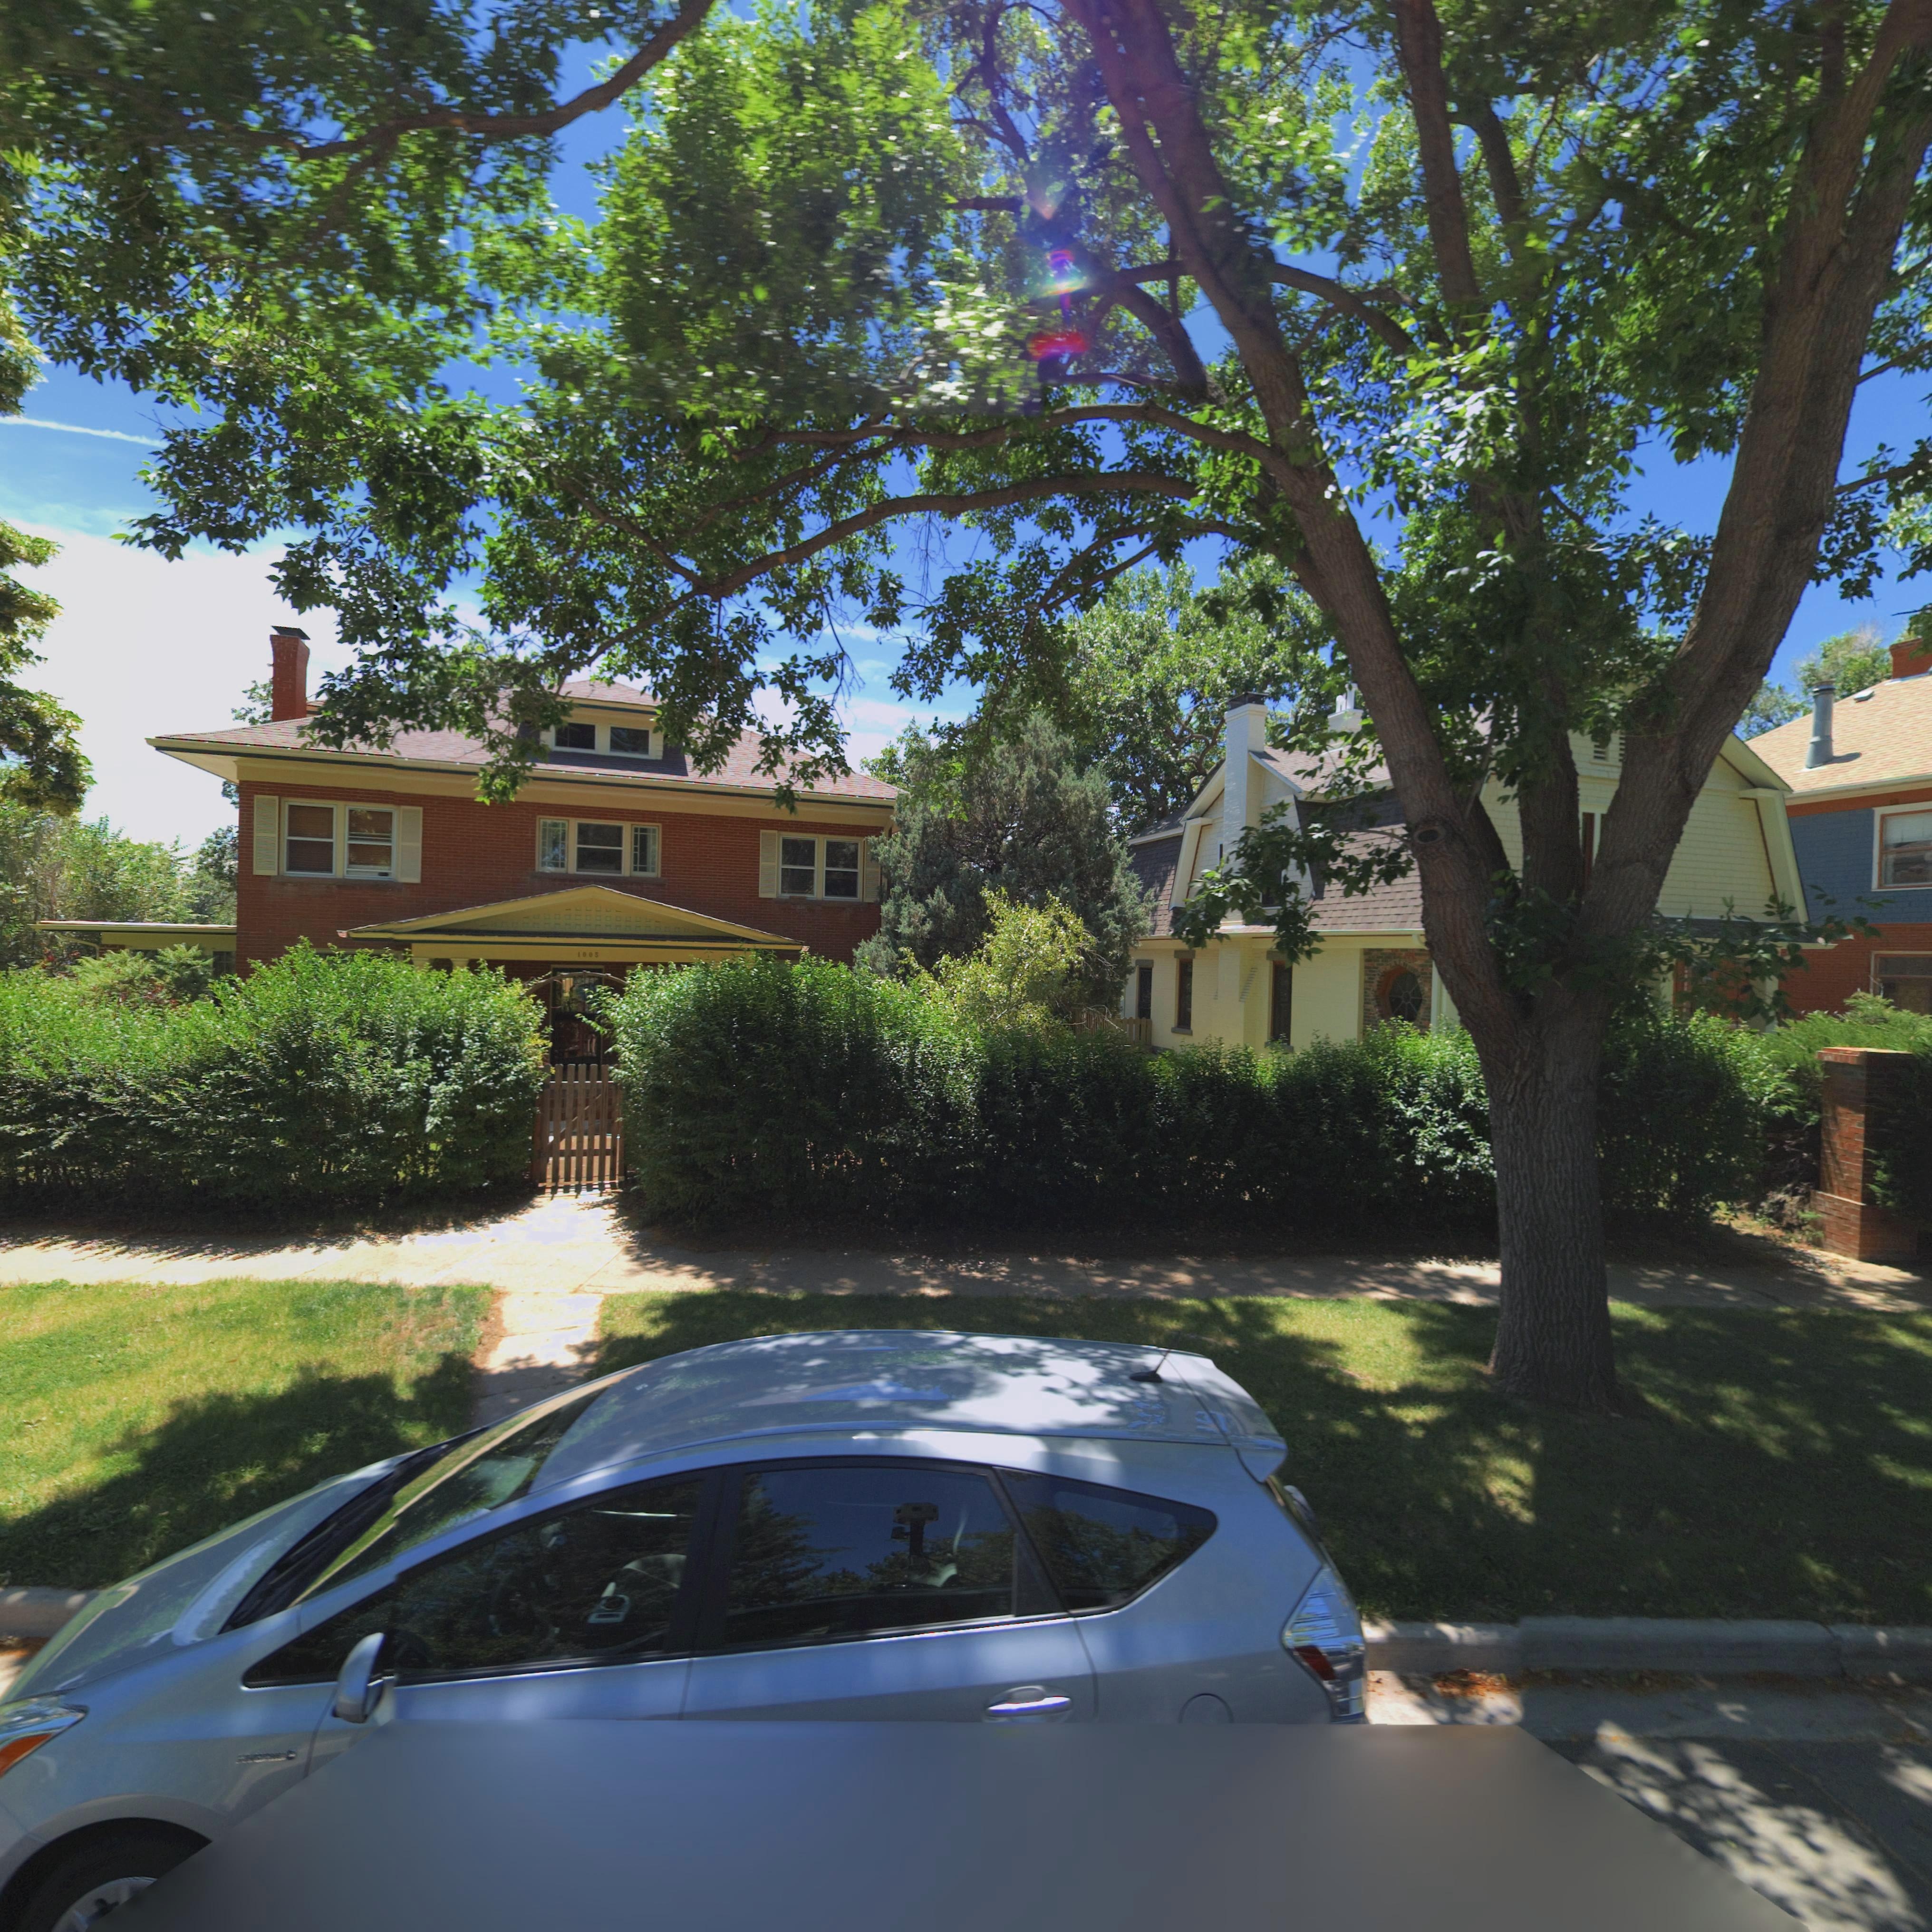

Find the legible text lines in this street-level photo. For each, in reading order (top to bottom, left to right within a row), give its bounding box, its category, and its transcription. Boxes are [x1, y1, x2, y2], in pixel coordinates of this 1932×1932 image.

[578, 951, 599, 958] StreetNumber: 1005